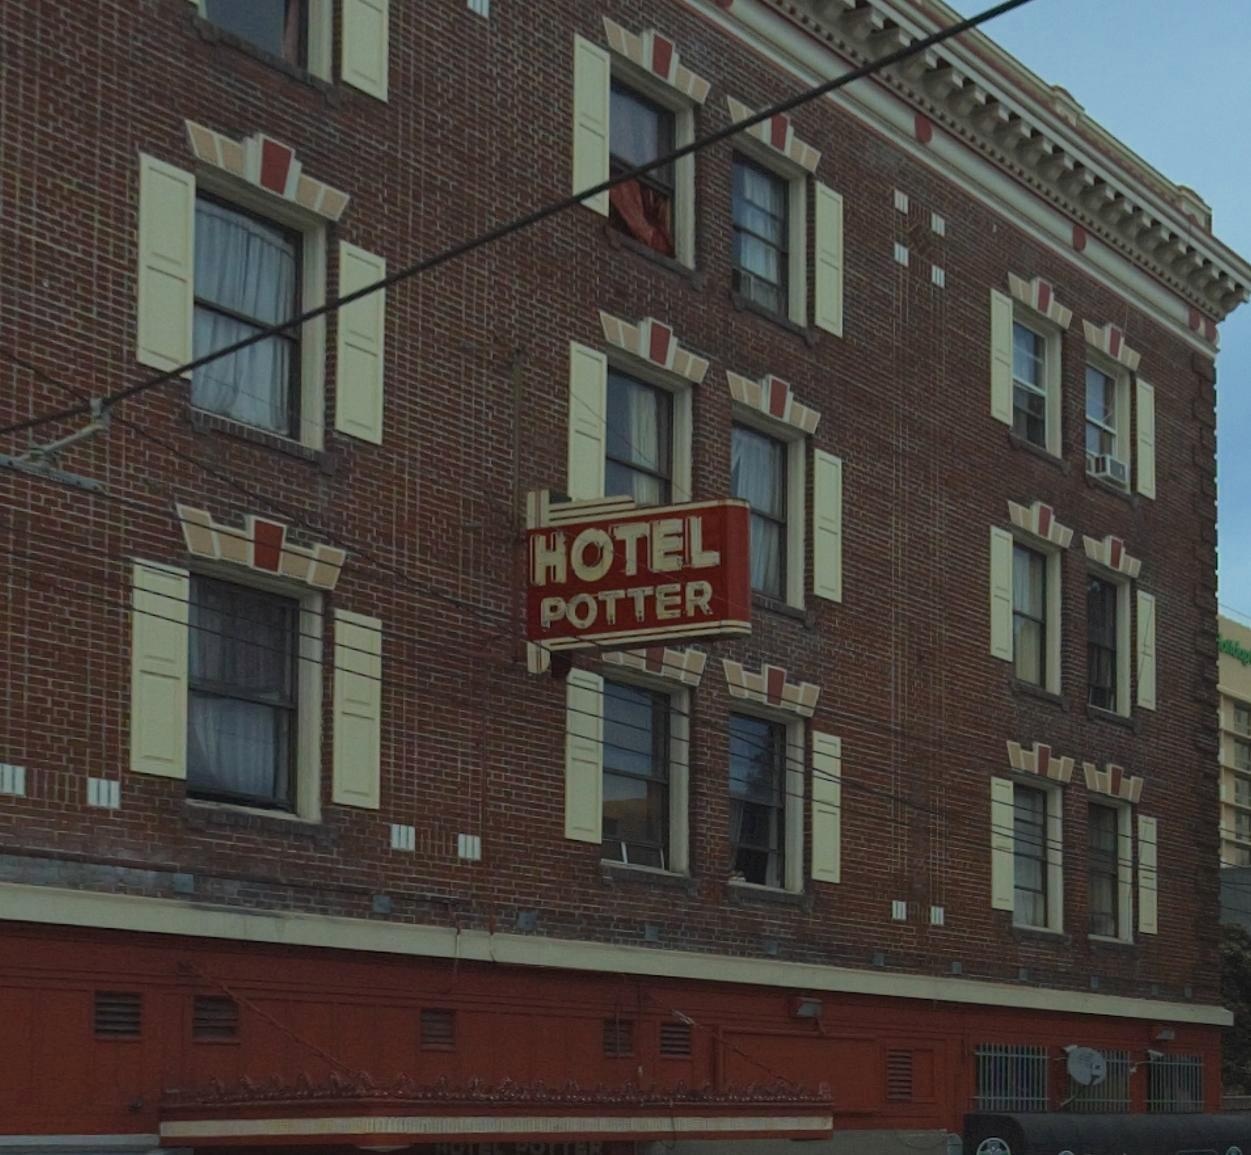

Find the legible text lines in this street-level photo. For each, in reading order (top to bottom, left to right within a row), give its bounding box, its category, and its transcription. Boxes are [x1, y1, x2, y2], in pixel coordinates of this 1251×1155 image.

[526, 507, 727, 592] BusinessName: HOTEL
[537, 573, 722, 638] BusinessName: POTTER